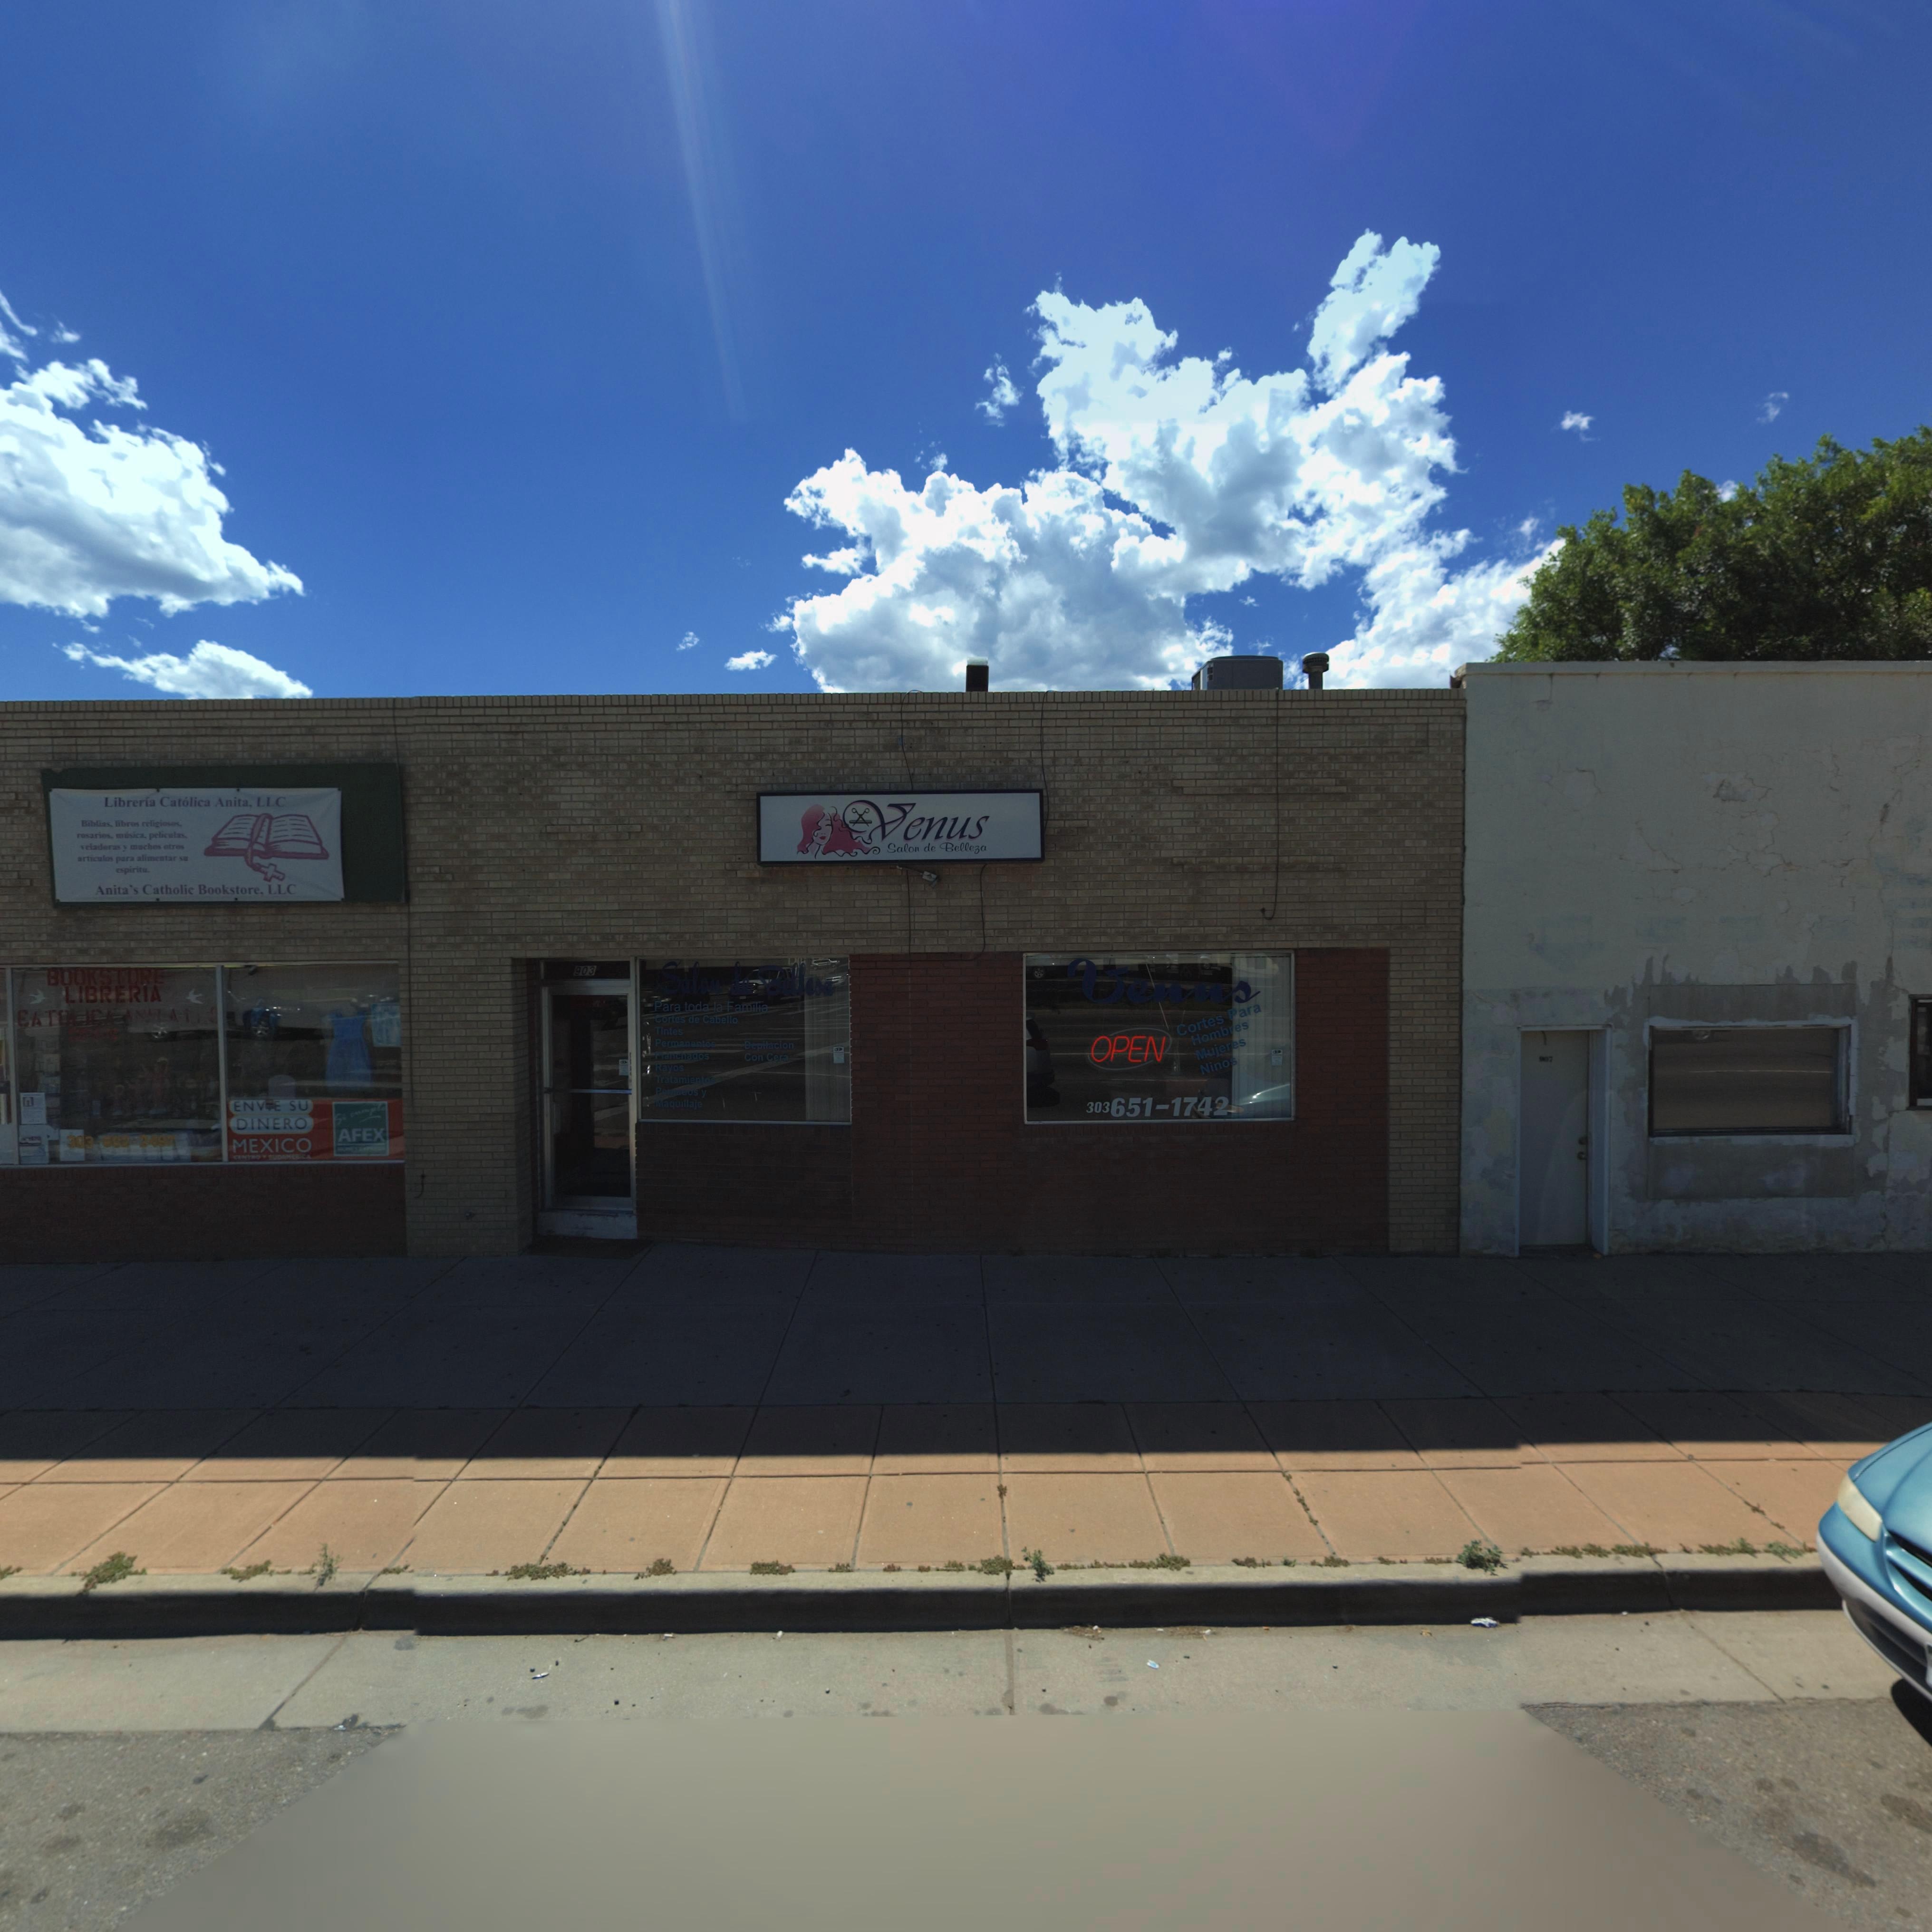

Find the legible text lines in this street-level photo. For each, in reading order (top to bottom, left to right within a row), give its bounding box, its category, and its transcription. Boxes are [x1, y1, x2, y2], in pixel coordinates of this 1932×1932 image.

[102, 795, 288, 808] BusinessName: Libreria Cat*lica Anita, LLC
[870, 799, 992, 842] BusinessName: Venus
[886, 841, 987, 854] BusinessName: Salon de Belleza
[93, 883, 298, 896] BusinessName: Anita's Catholic Bookstore, LLC
[573, 966, 596, 976] StreetNumber: 903
[656, 959, 838, 999] BusinessName: Salon de Belle*a
[1065, 957, 1262, 1006] BusinessName: Venus
[64, 984, 163, 1004] BusinessName: LIBRERIA
[16, 1007, 207, 1028] BusinessName: CATOLICA AN**A LL
[1538, 1055, 1553, 1063] StreetNumber: 907